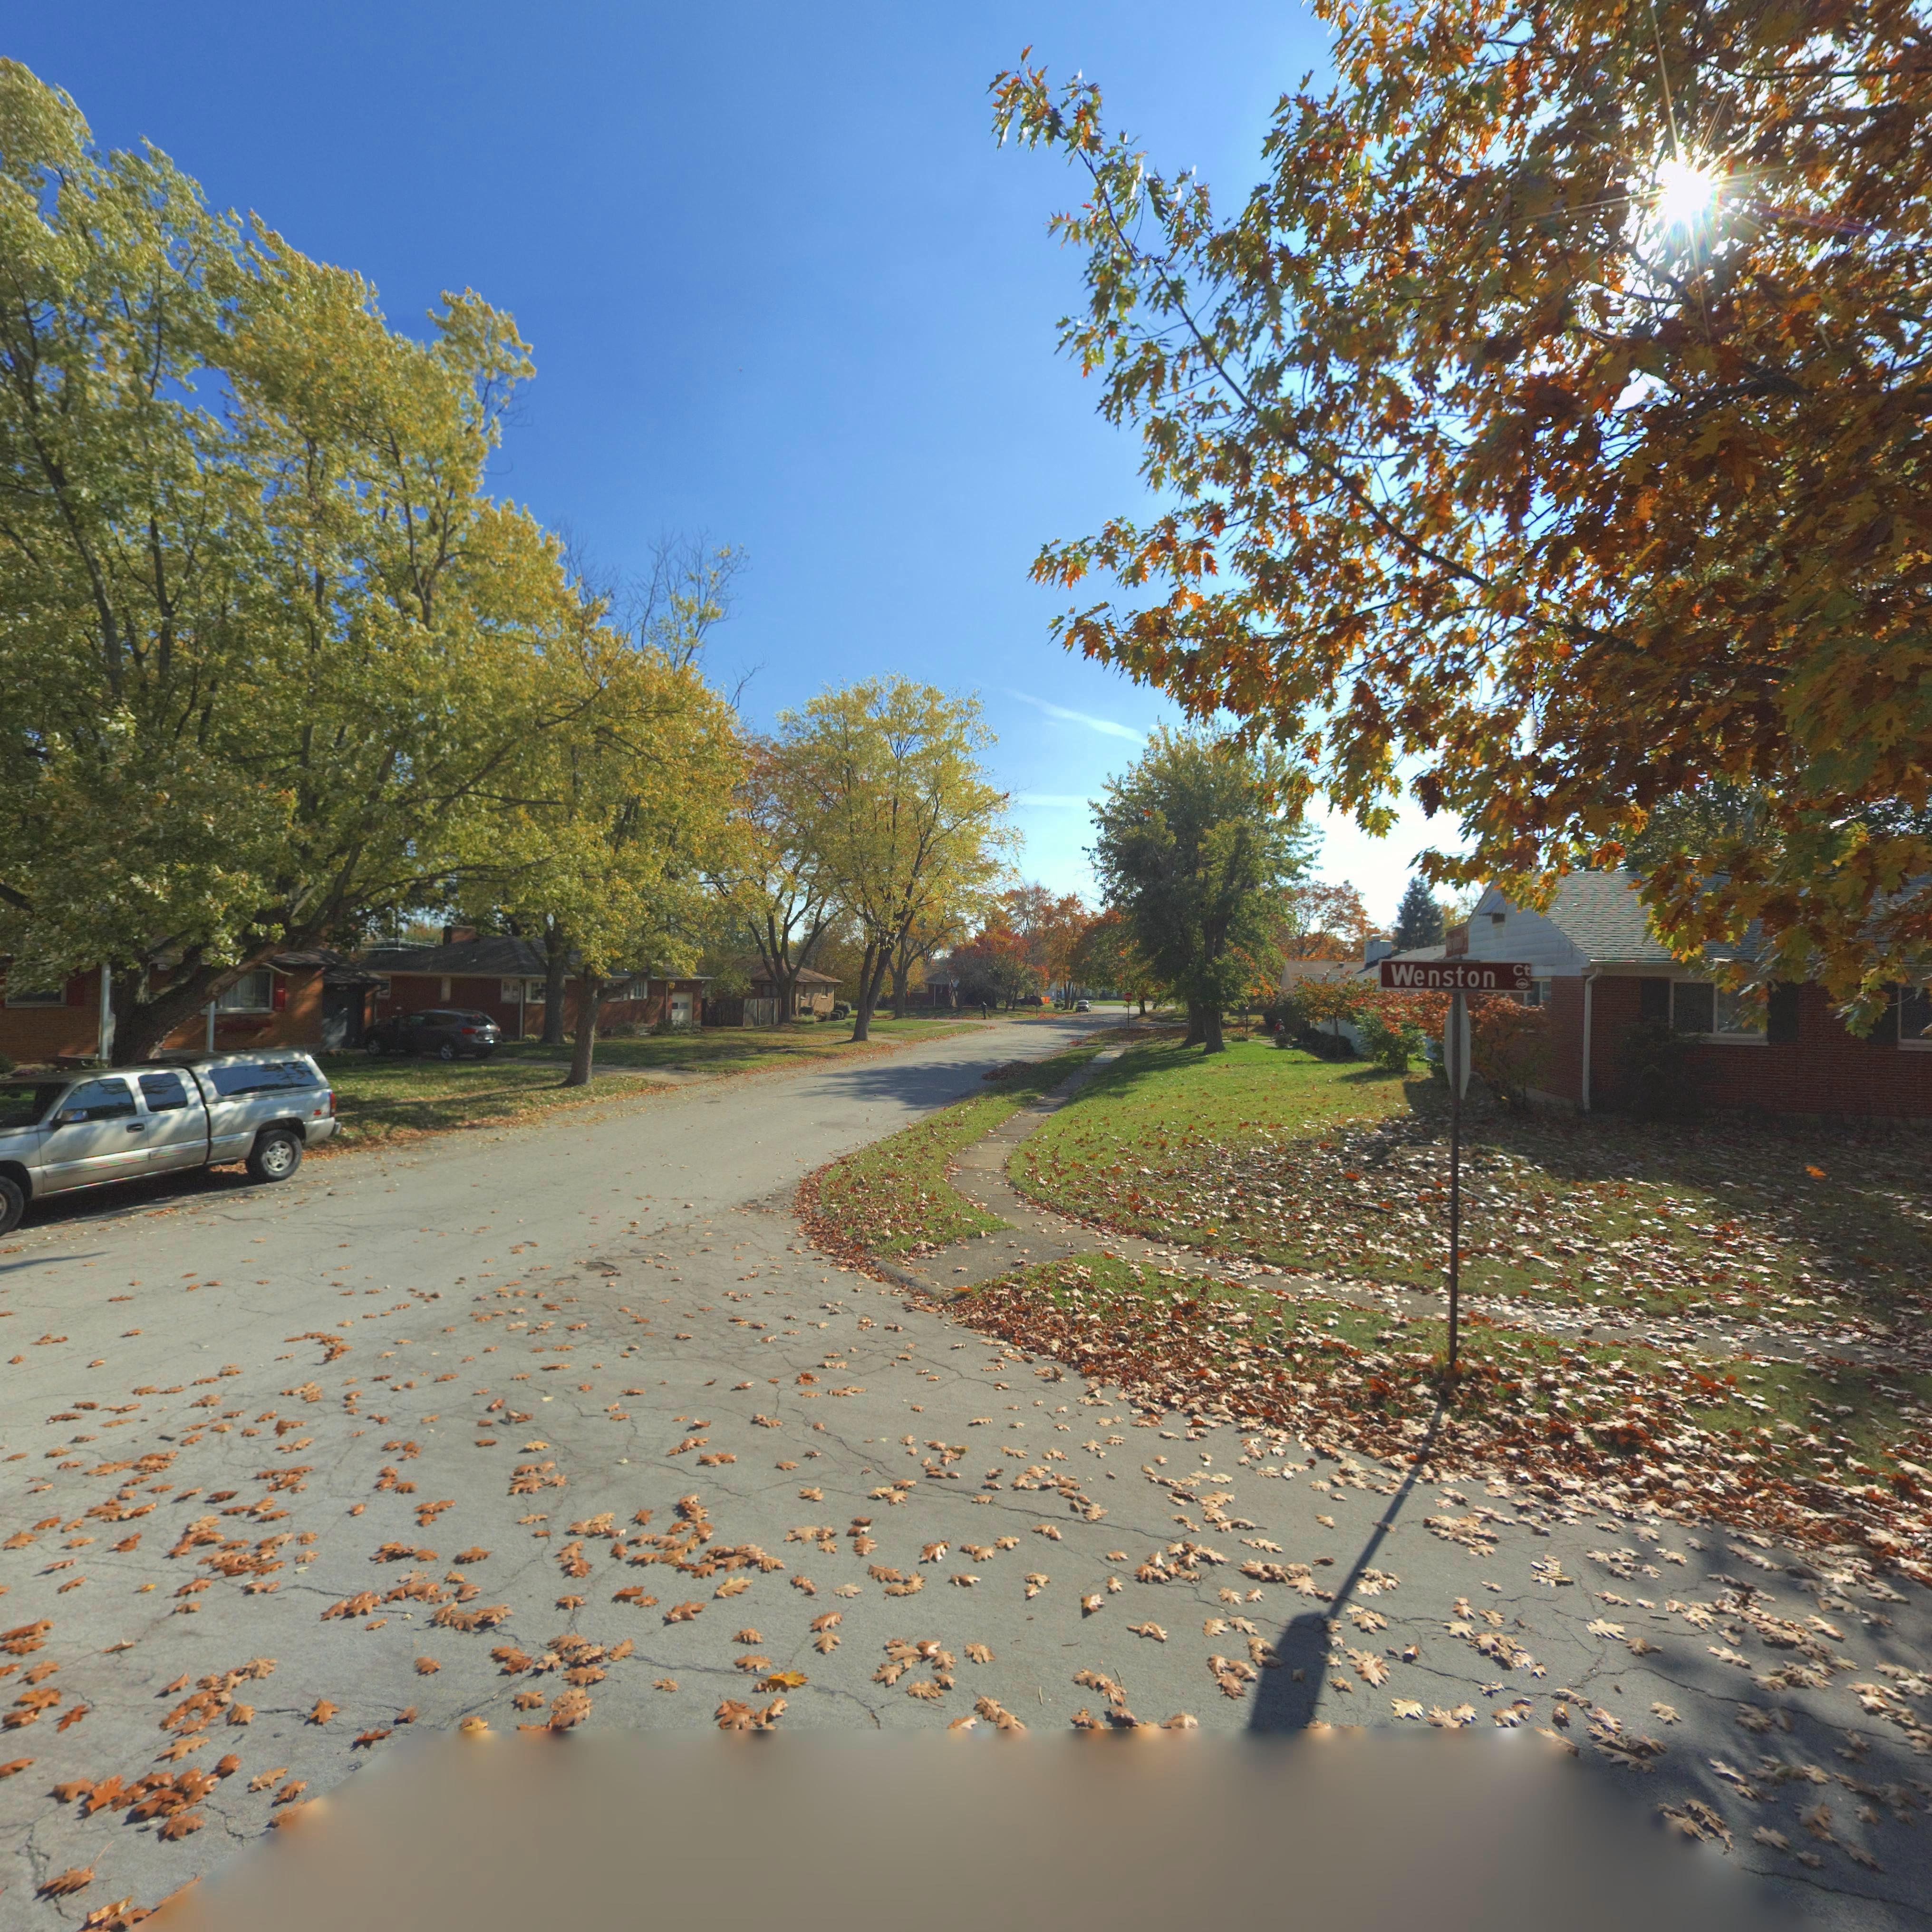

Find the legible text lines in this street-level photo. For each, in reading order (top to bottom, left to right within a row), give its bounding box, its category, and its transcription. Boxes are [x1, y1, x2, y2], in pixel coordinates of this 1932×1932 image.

[1389, 963, 1530, 989] StreetName: Wenston Ct